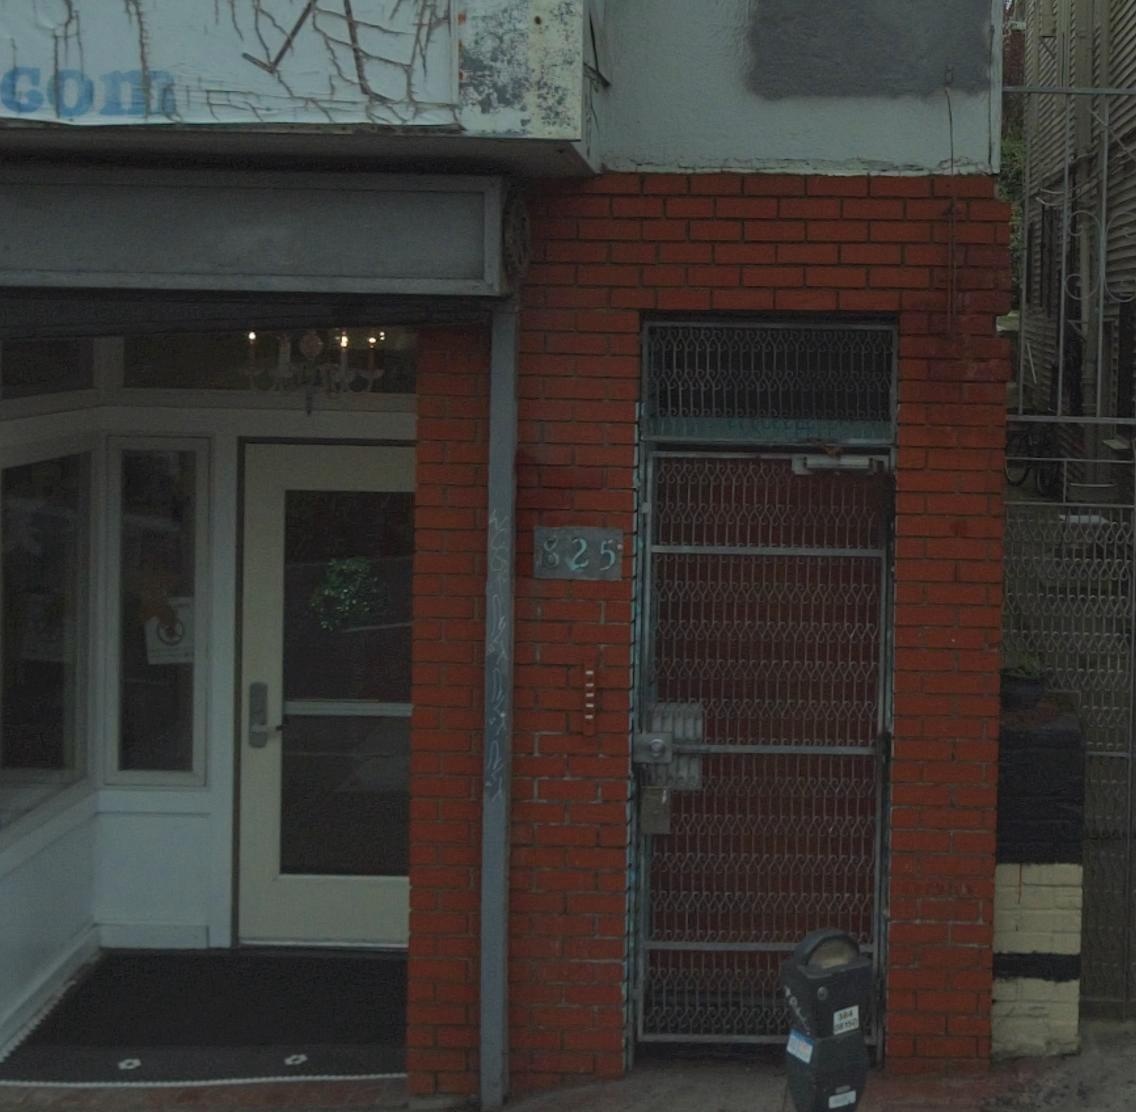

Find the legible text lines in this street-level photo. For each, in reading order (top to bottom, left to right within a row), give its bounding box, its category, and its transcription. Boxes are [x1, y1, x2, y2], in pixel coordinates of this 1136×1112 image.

[488, 507, 511, 574] None: W*G
[540, 536, 617, 573] StreetNumber: 825